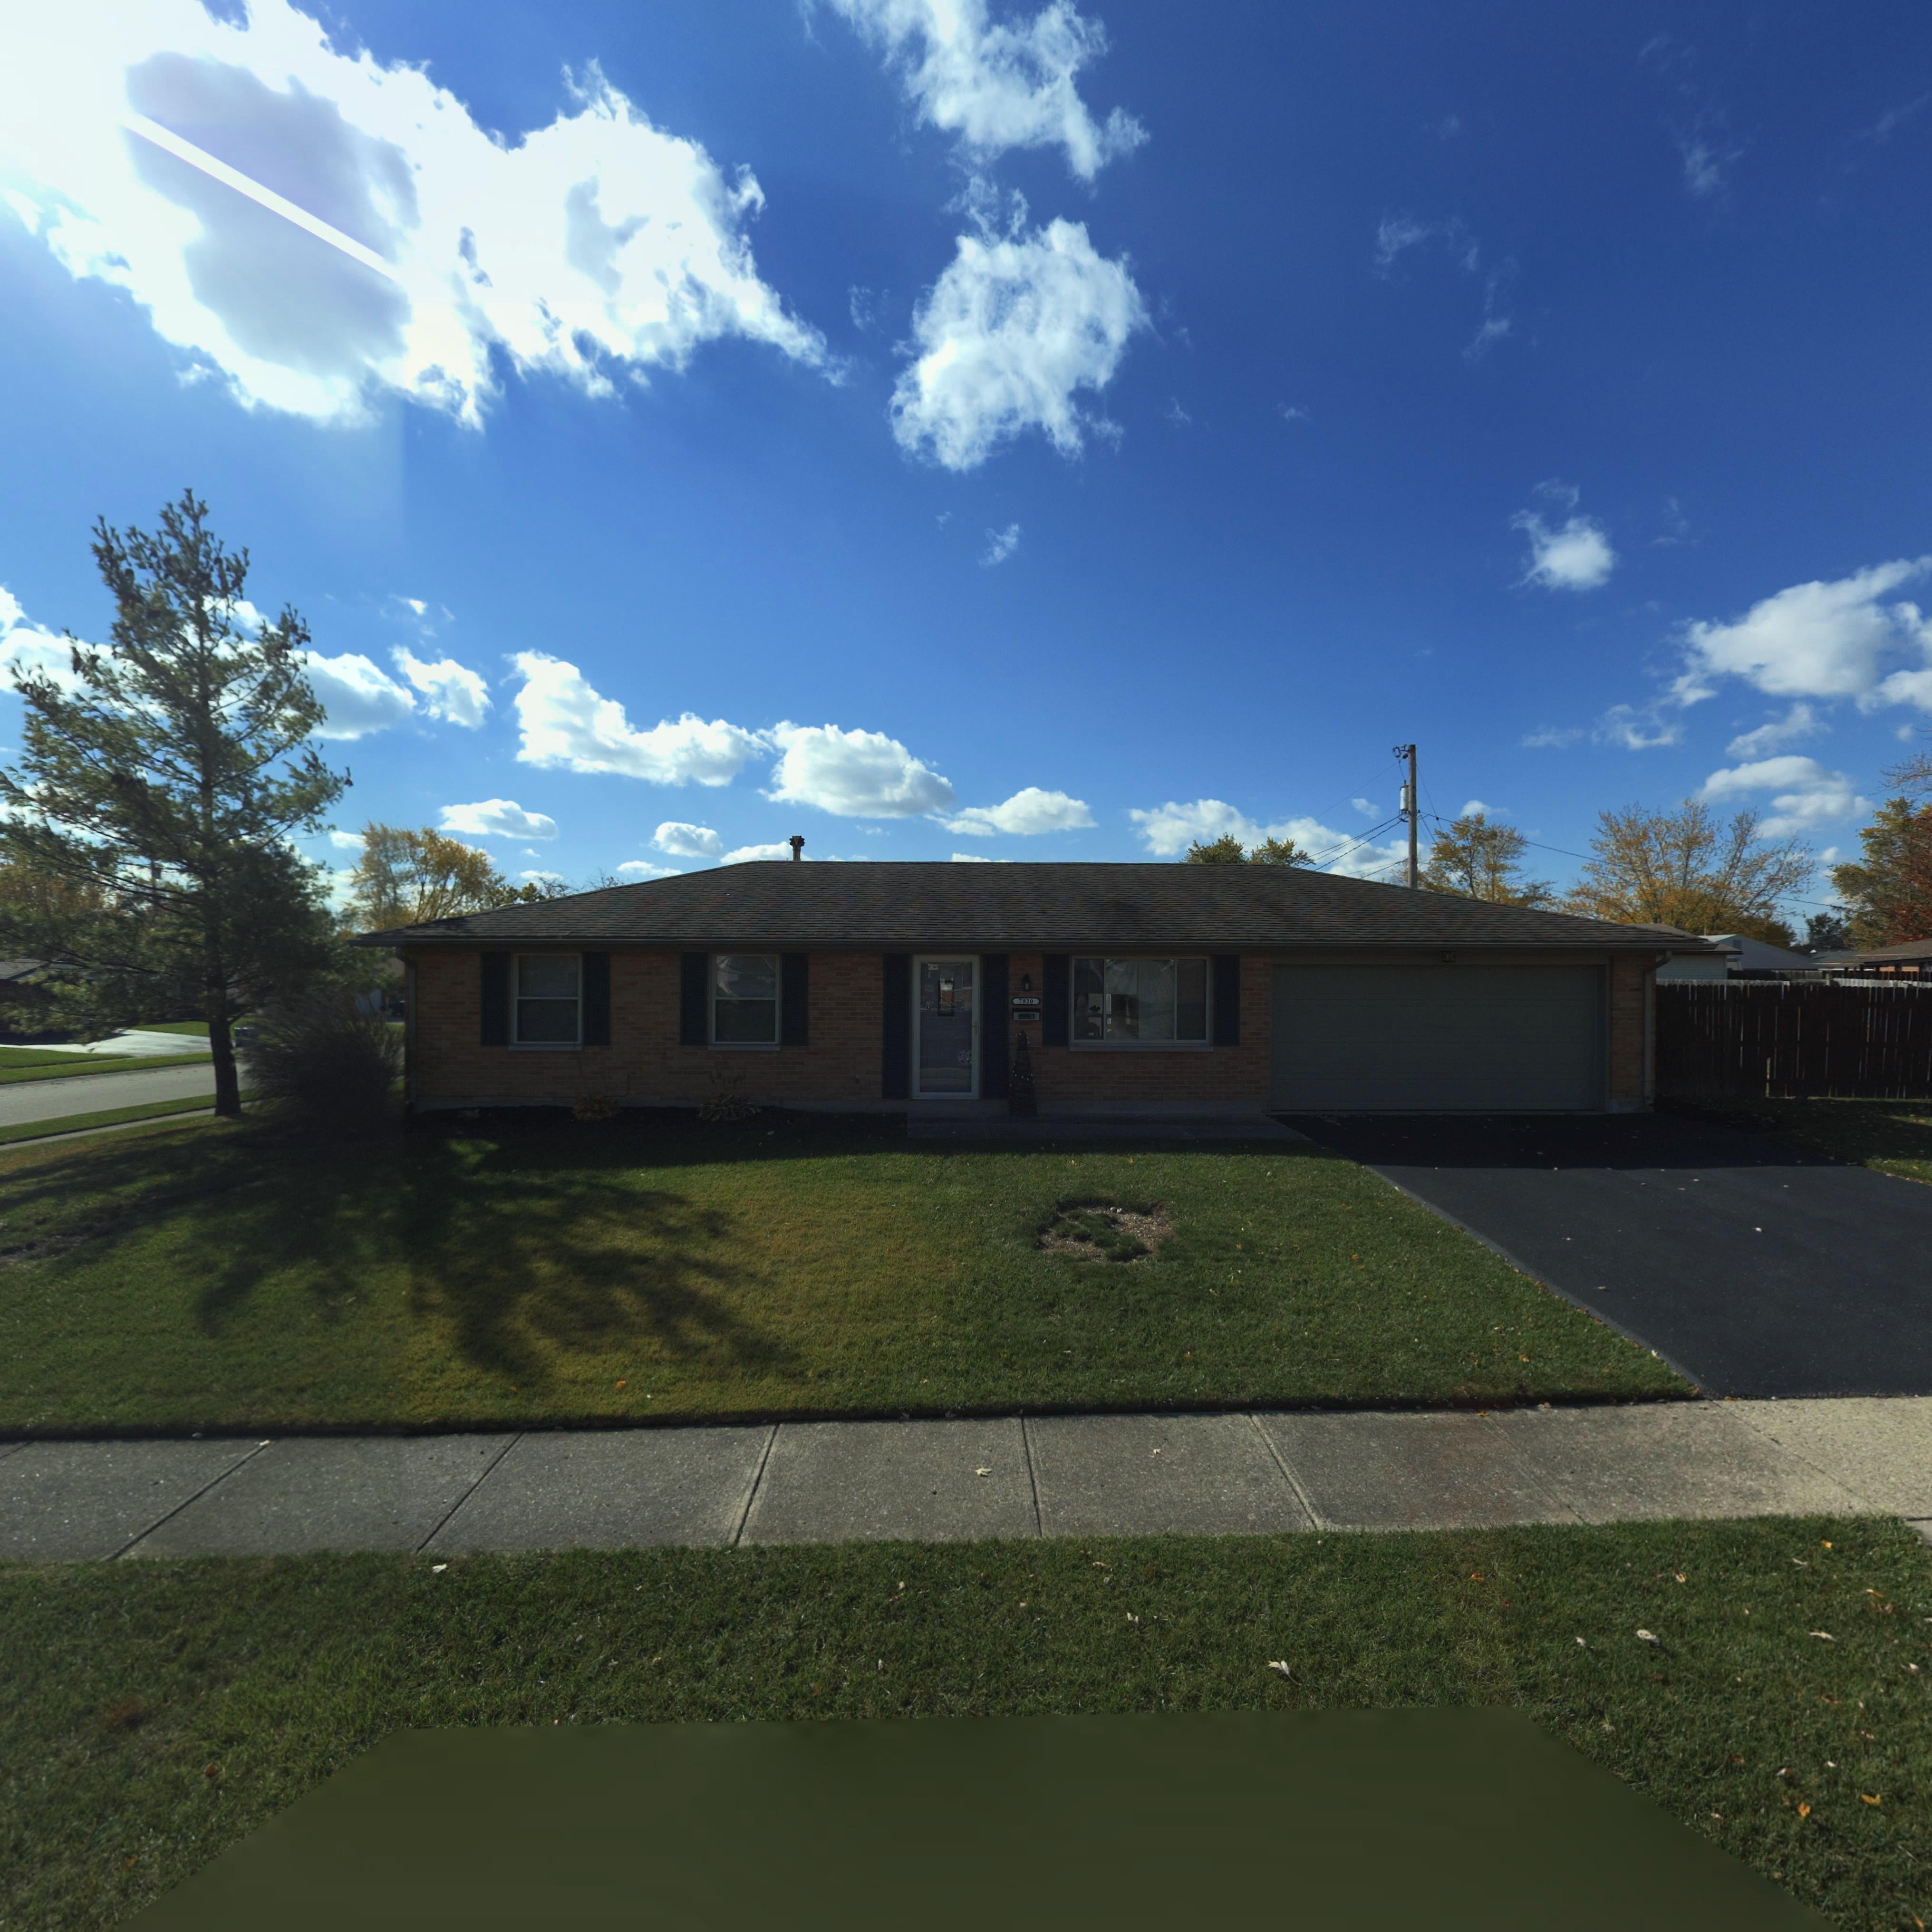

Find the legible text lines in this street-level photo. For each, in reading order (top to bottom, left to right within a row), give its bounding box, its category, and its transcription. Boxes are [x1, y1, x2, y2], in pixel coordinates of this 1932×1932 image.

[1018, 998, 1034, 1005] StreetNumber: 7820